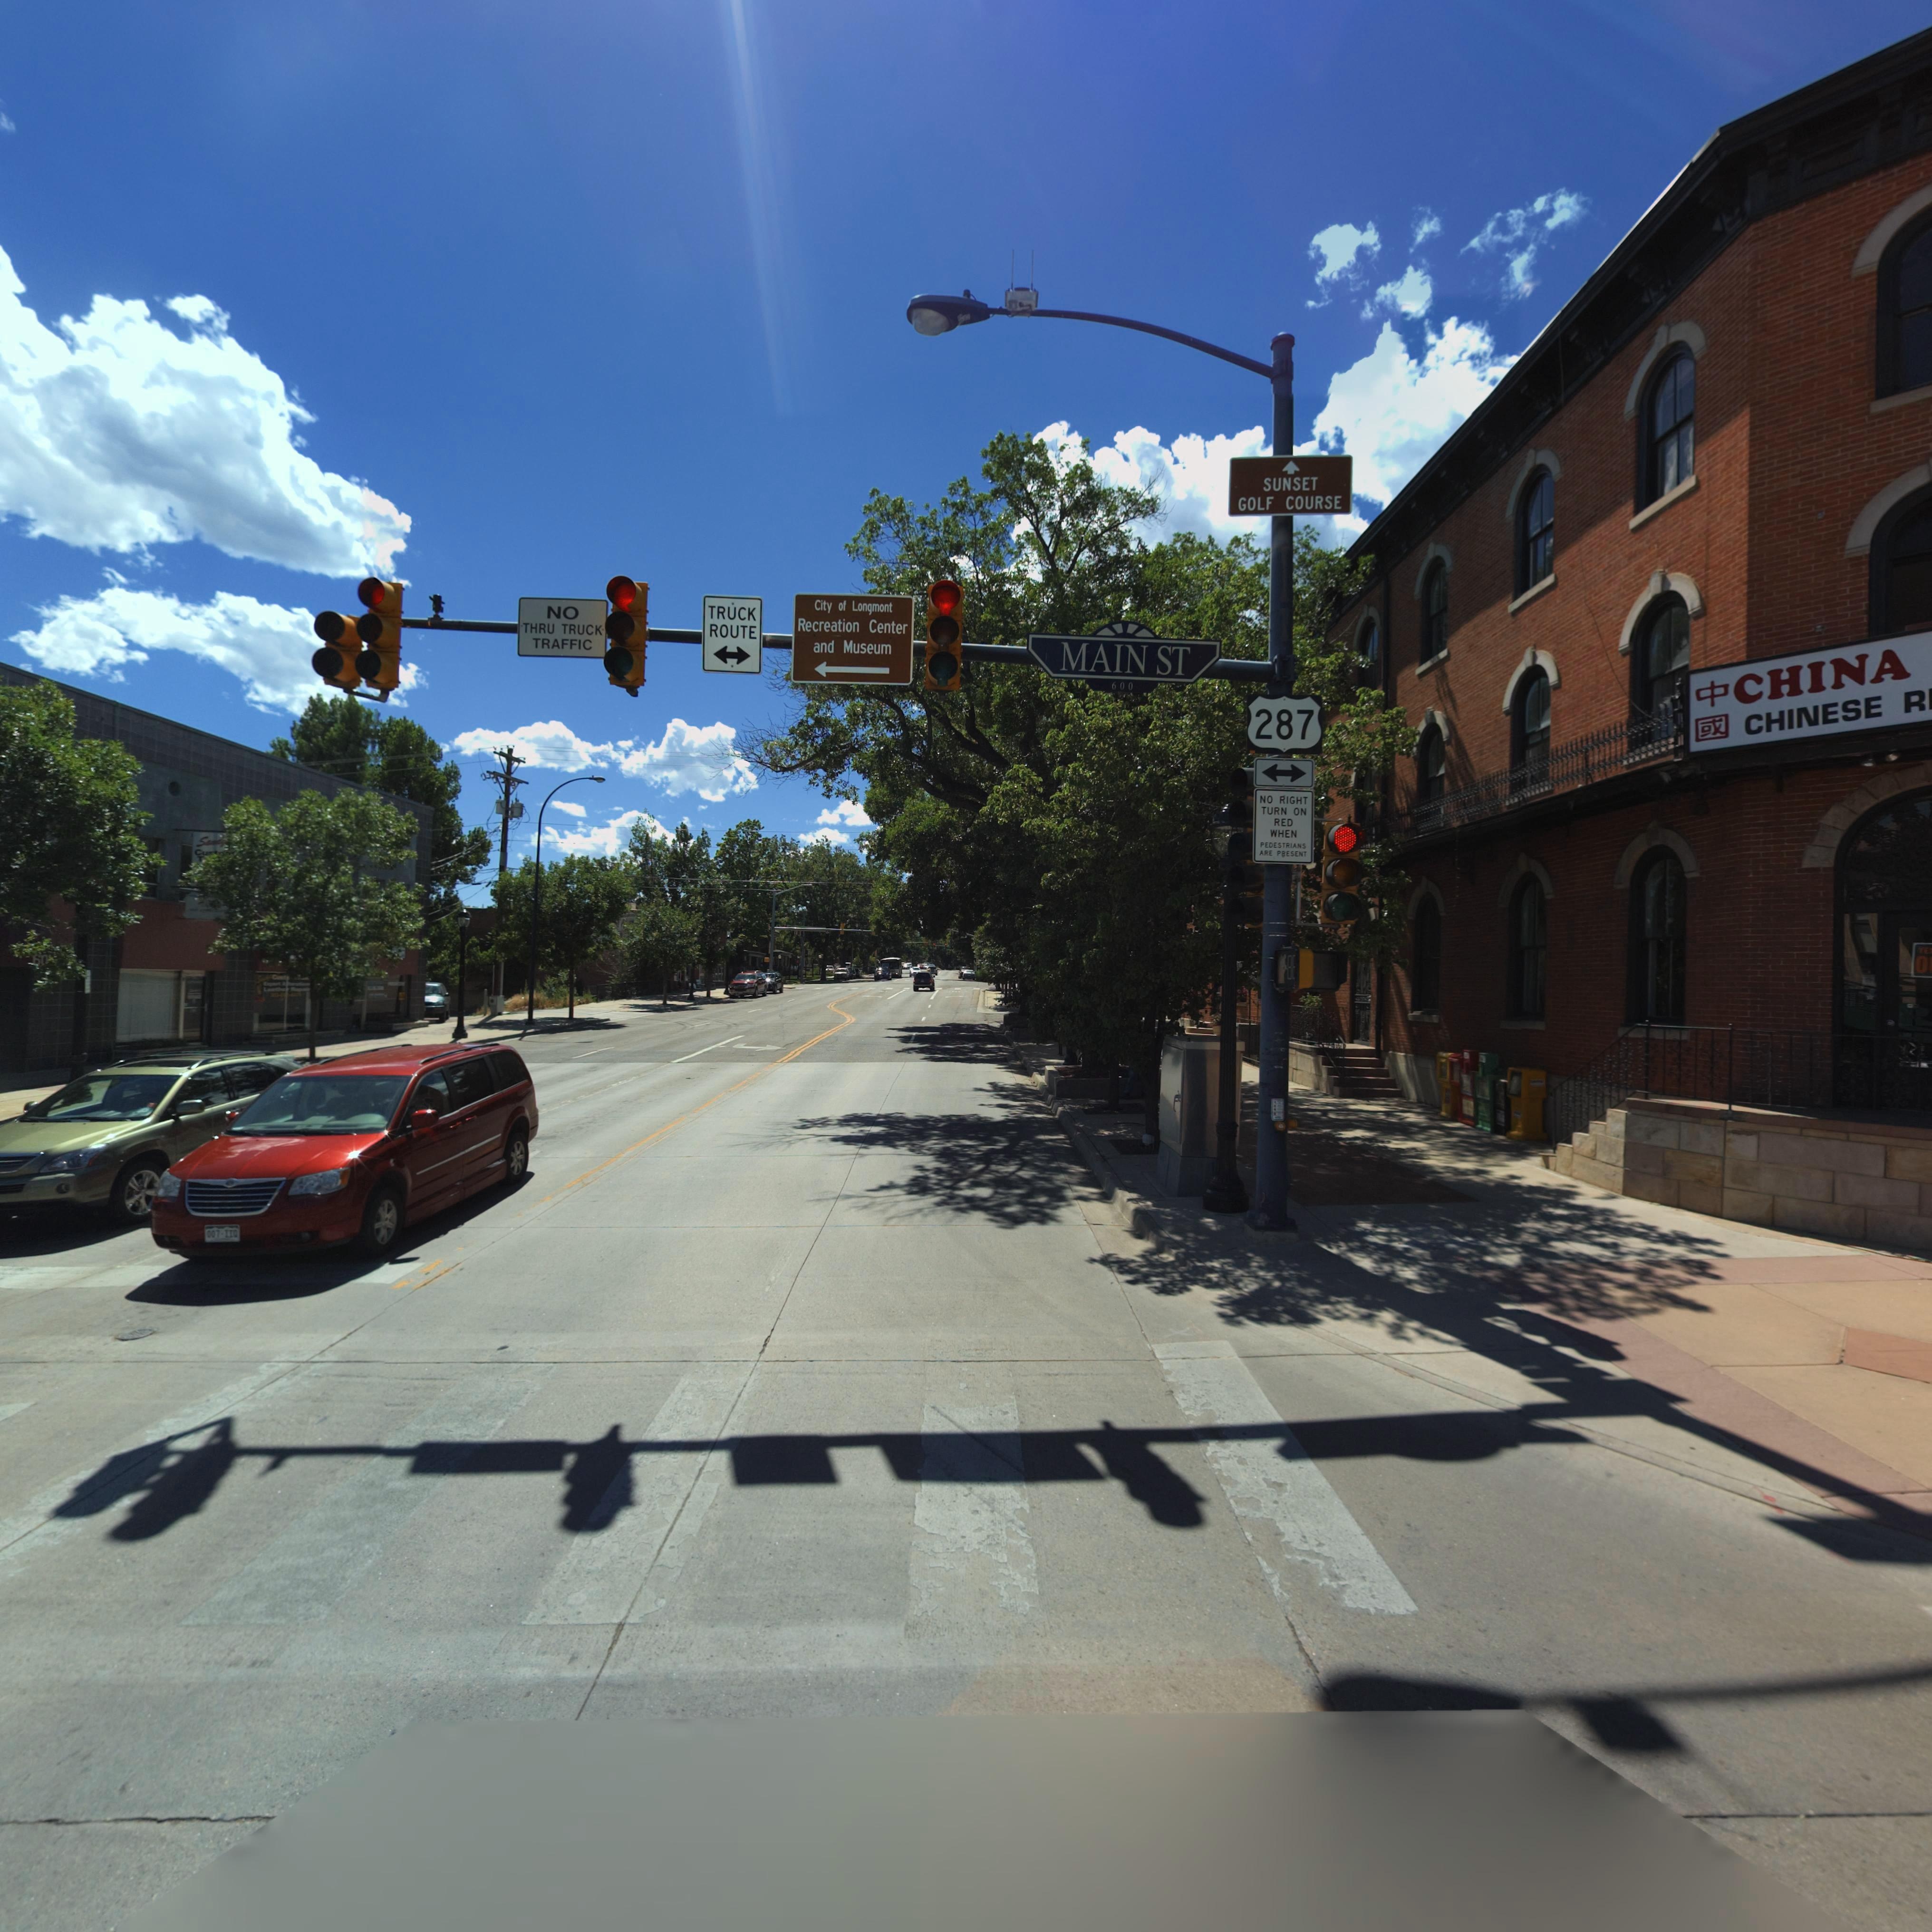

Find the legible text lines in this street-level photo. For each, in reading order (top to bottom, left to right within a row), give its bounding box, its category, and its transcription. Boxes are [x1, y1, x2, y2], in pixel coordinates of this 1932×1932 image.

[1060, 642, 1190, 675] StreetName: MAIN ST
[1112, 681, 1133, 691] StreetNumberRange: 600
[1732, 647, 1914, 705] BusinessName: CHINA
[1254, 707, 1314, 740] StreetName: 287
[1743, 688, 1927, 736] BusinessName: CHINESE R
[31, 953, 53, 967] StreetNumber: 60*